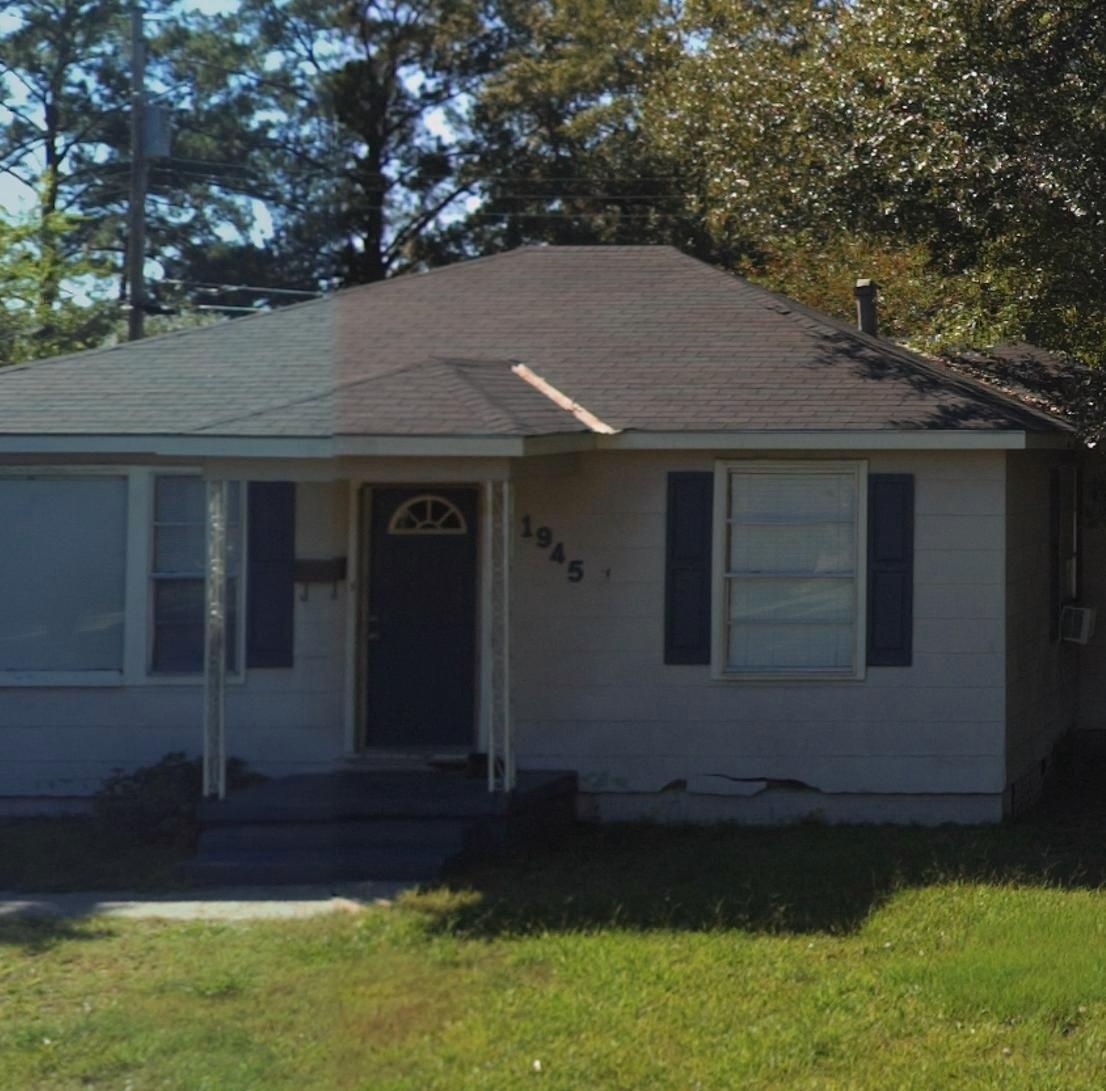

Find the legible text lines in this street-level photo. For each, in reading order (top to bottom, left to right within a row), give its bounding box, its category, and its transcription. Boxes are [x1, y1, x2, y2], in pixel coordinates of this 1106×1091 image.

[518, 512, 588, 585] StreetNumber: 1945